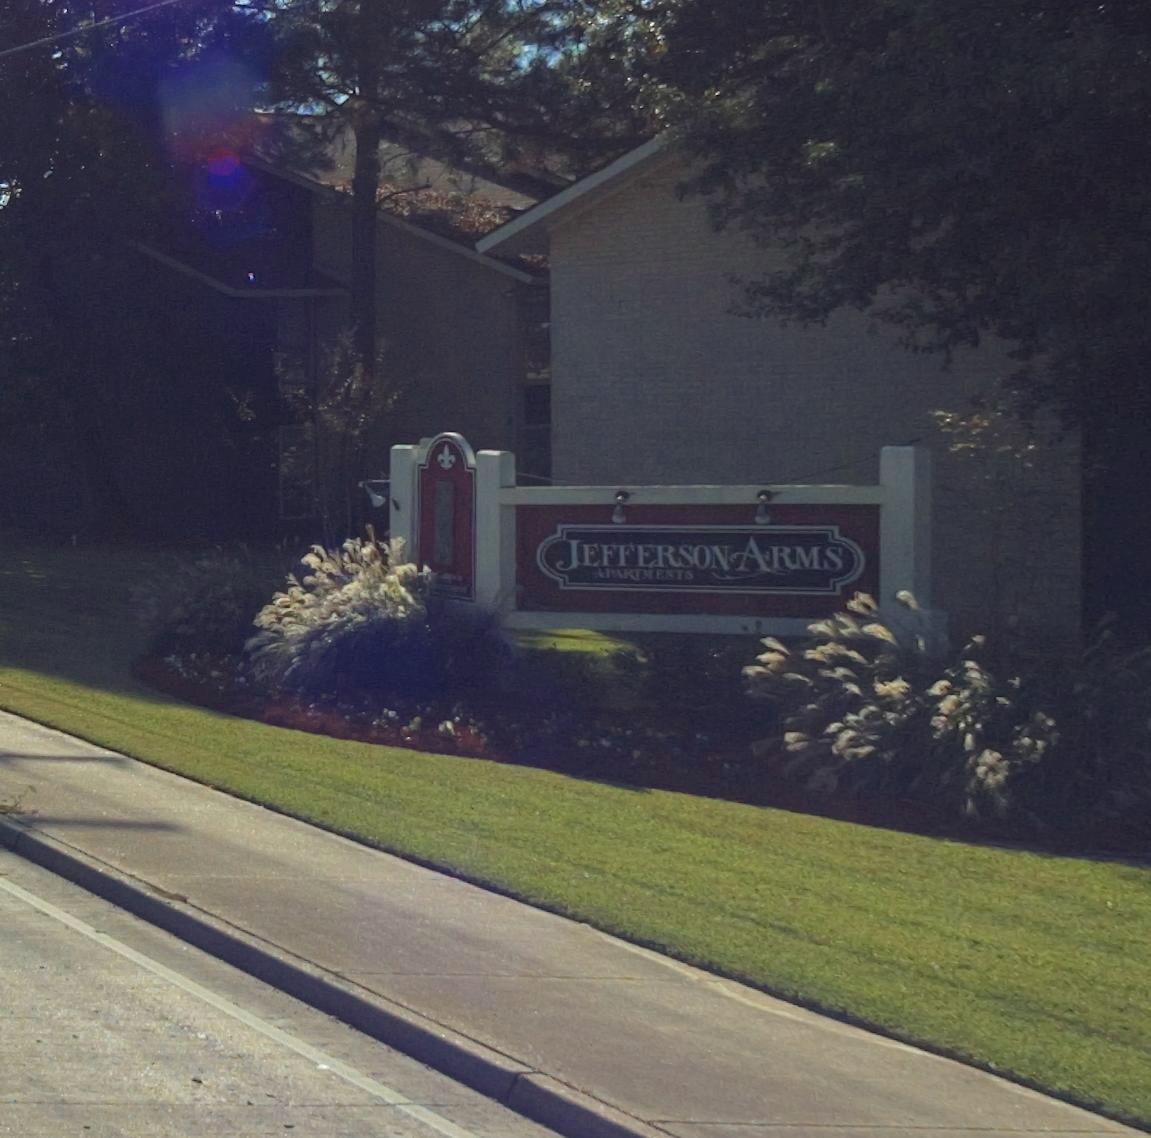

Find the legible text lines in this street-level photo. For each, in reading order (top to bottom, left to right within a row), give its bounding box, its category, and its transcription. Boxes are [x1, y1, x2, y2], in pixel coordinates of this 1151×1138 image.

[591, 565, 697, 583] BusinessName: APARTMENTS
[552, 533, 846, 574] BusinessName: JEFFERSON ARMS